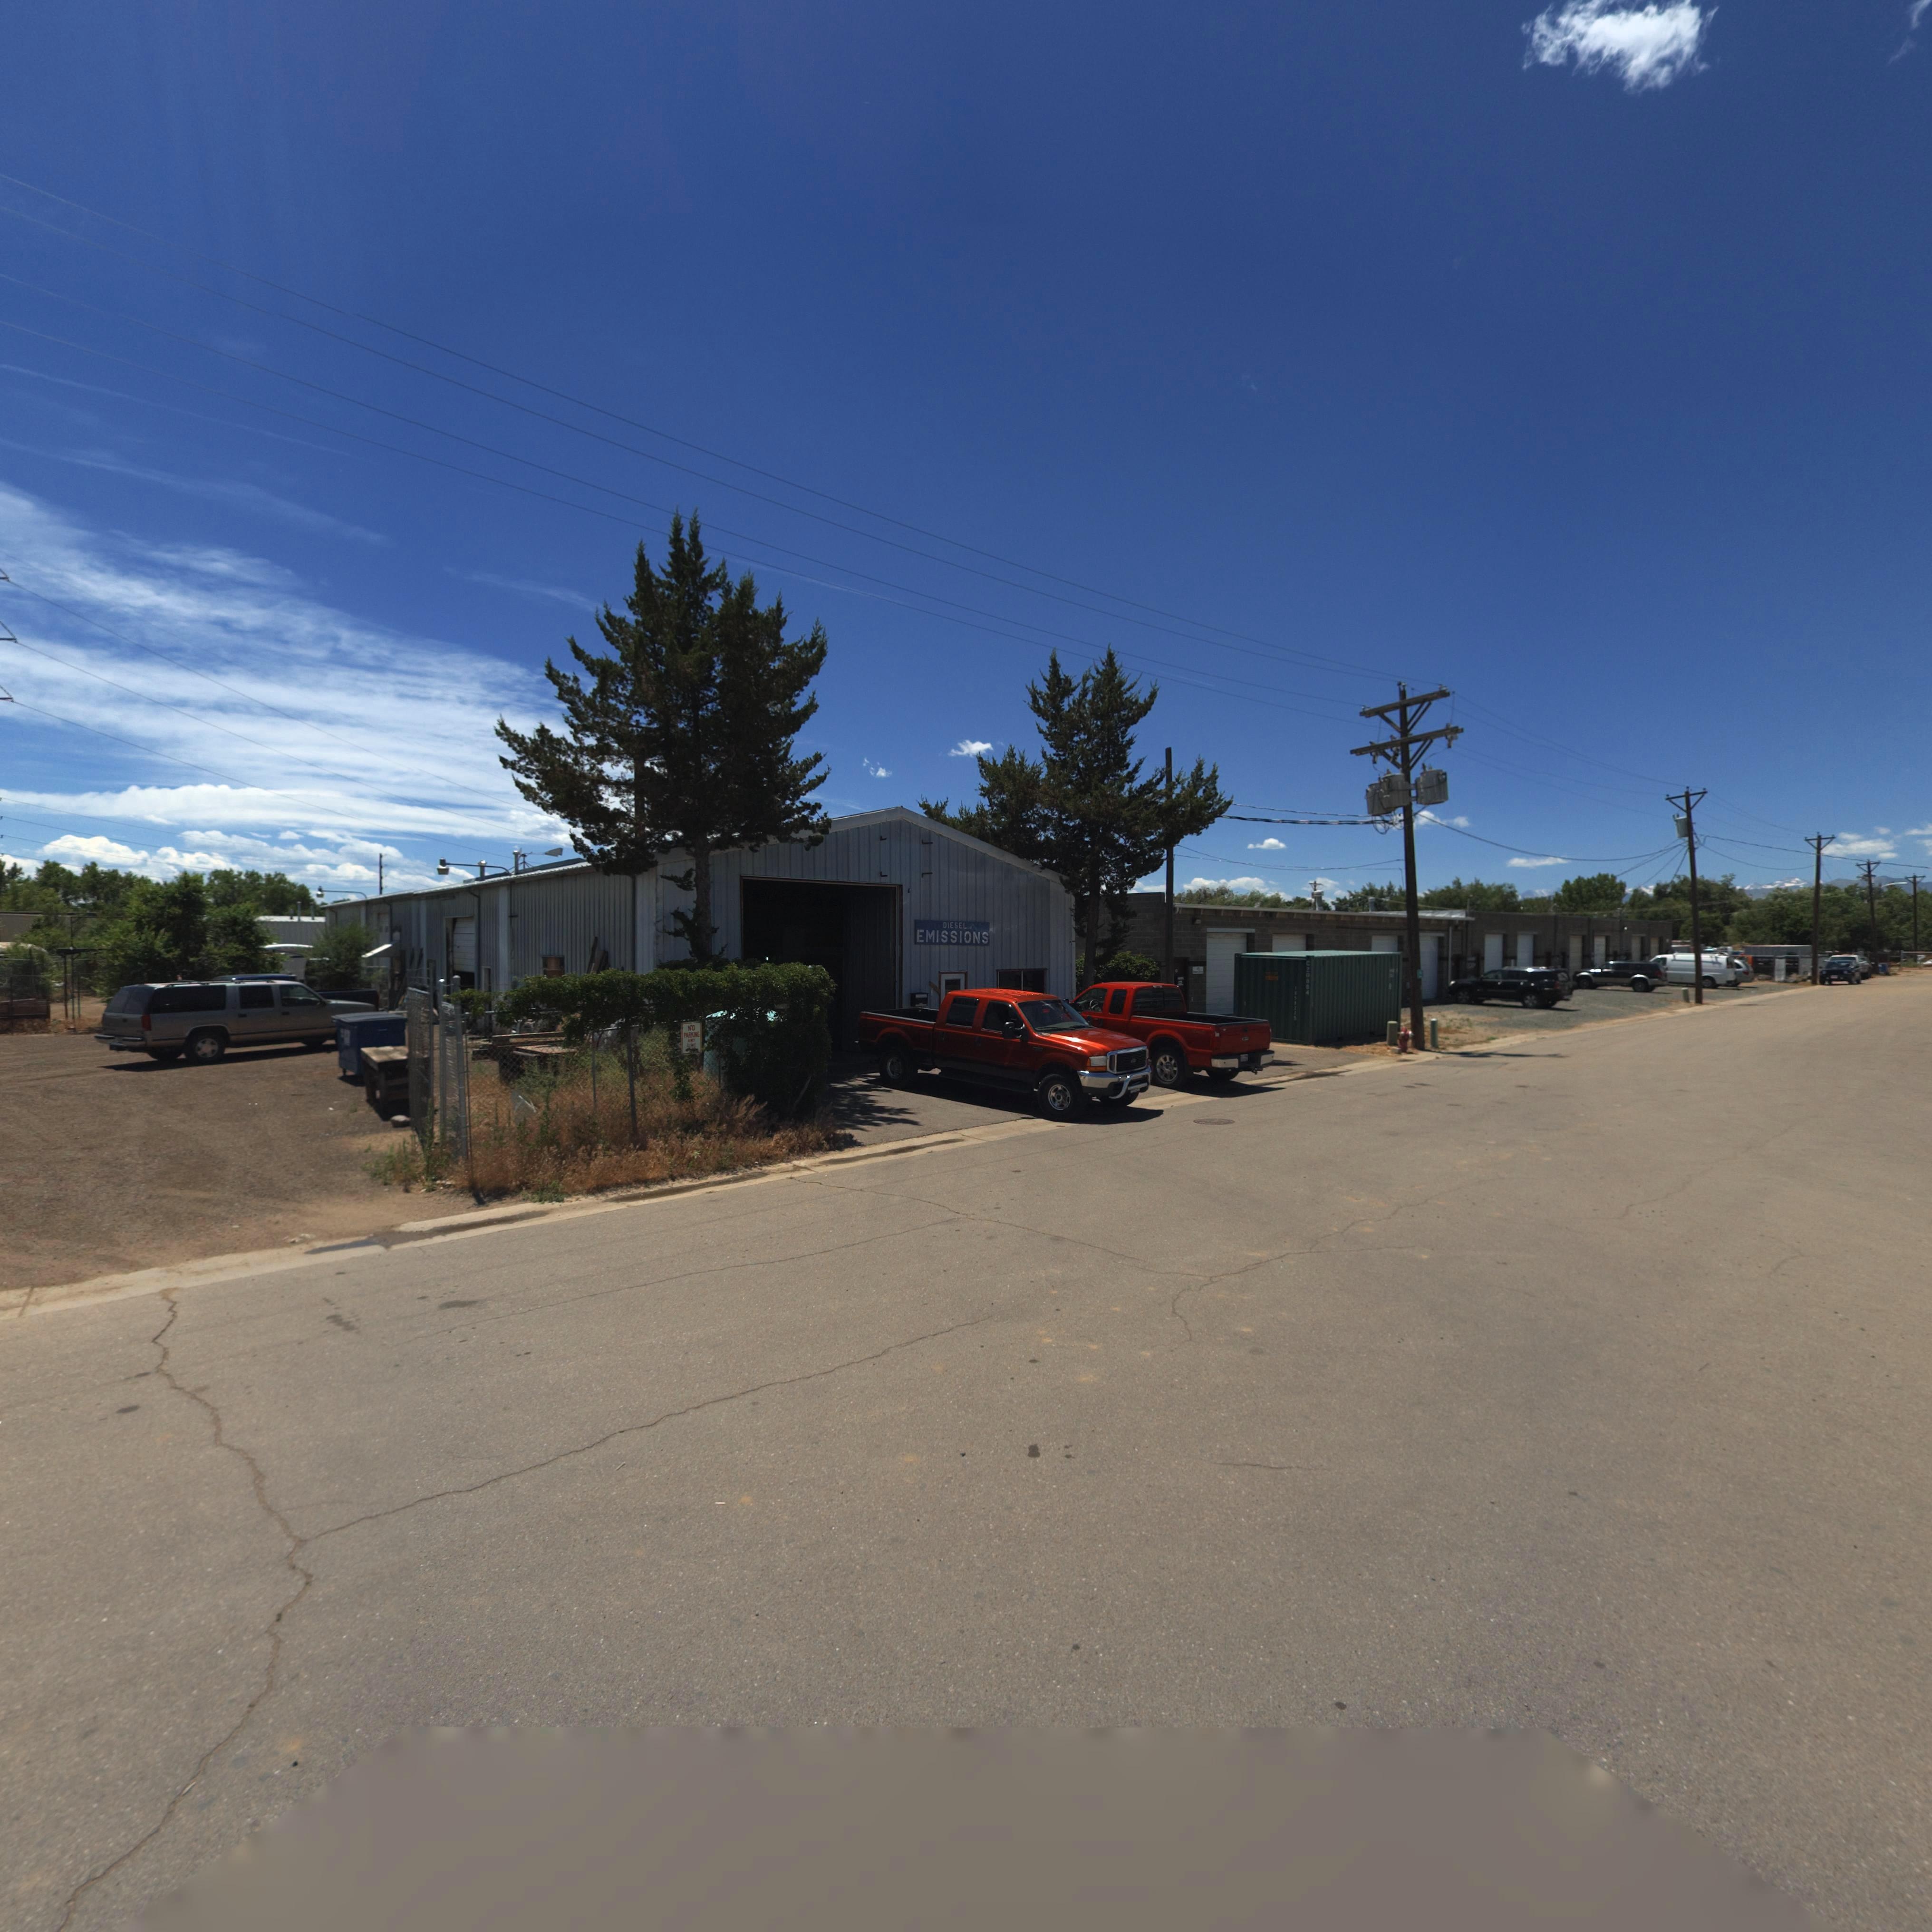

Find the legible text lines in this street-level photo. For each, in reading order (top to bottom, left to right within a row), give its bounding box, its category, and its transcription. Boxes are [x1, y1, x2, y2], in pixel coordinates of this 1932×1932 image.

[942, 921, 967, 929] BusinessName: DIESEL
[916, 928, 989, 944] BusinessName: EMISSIONS